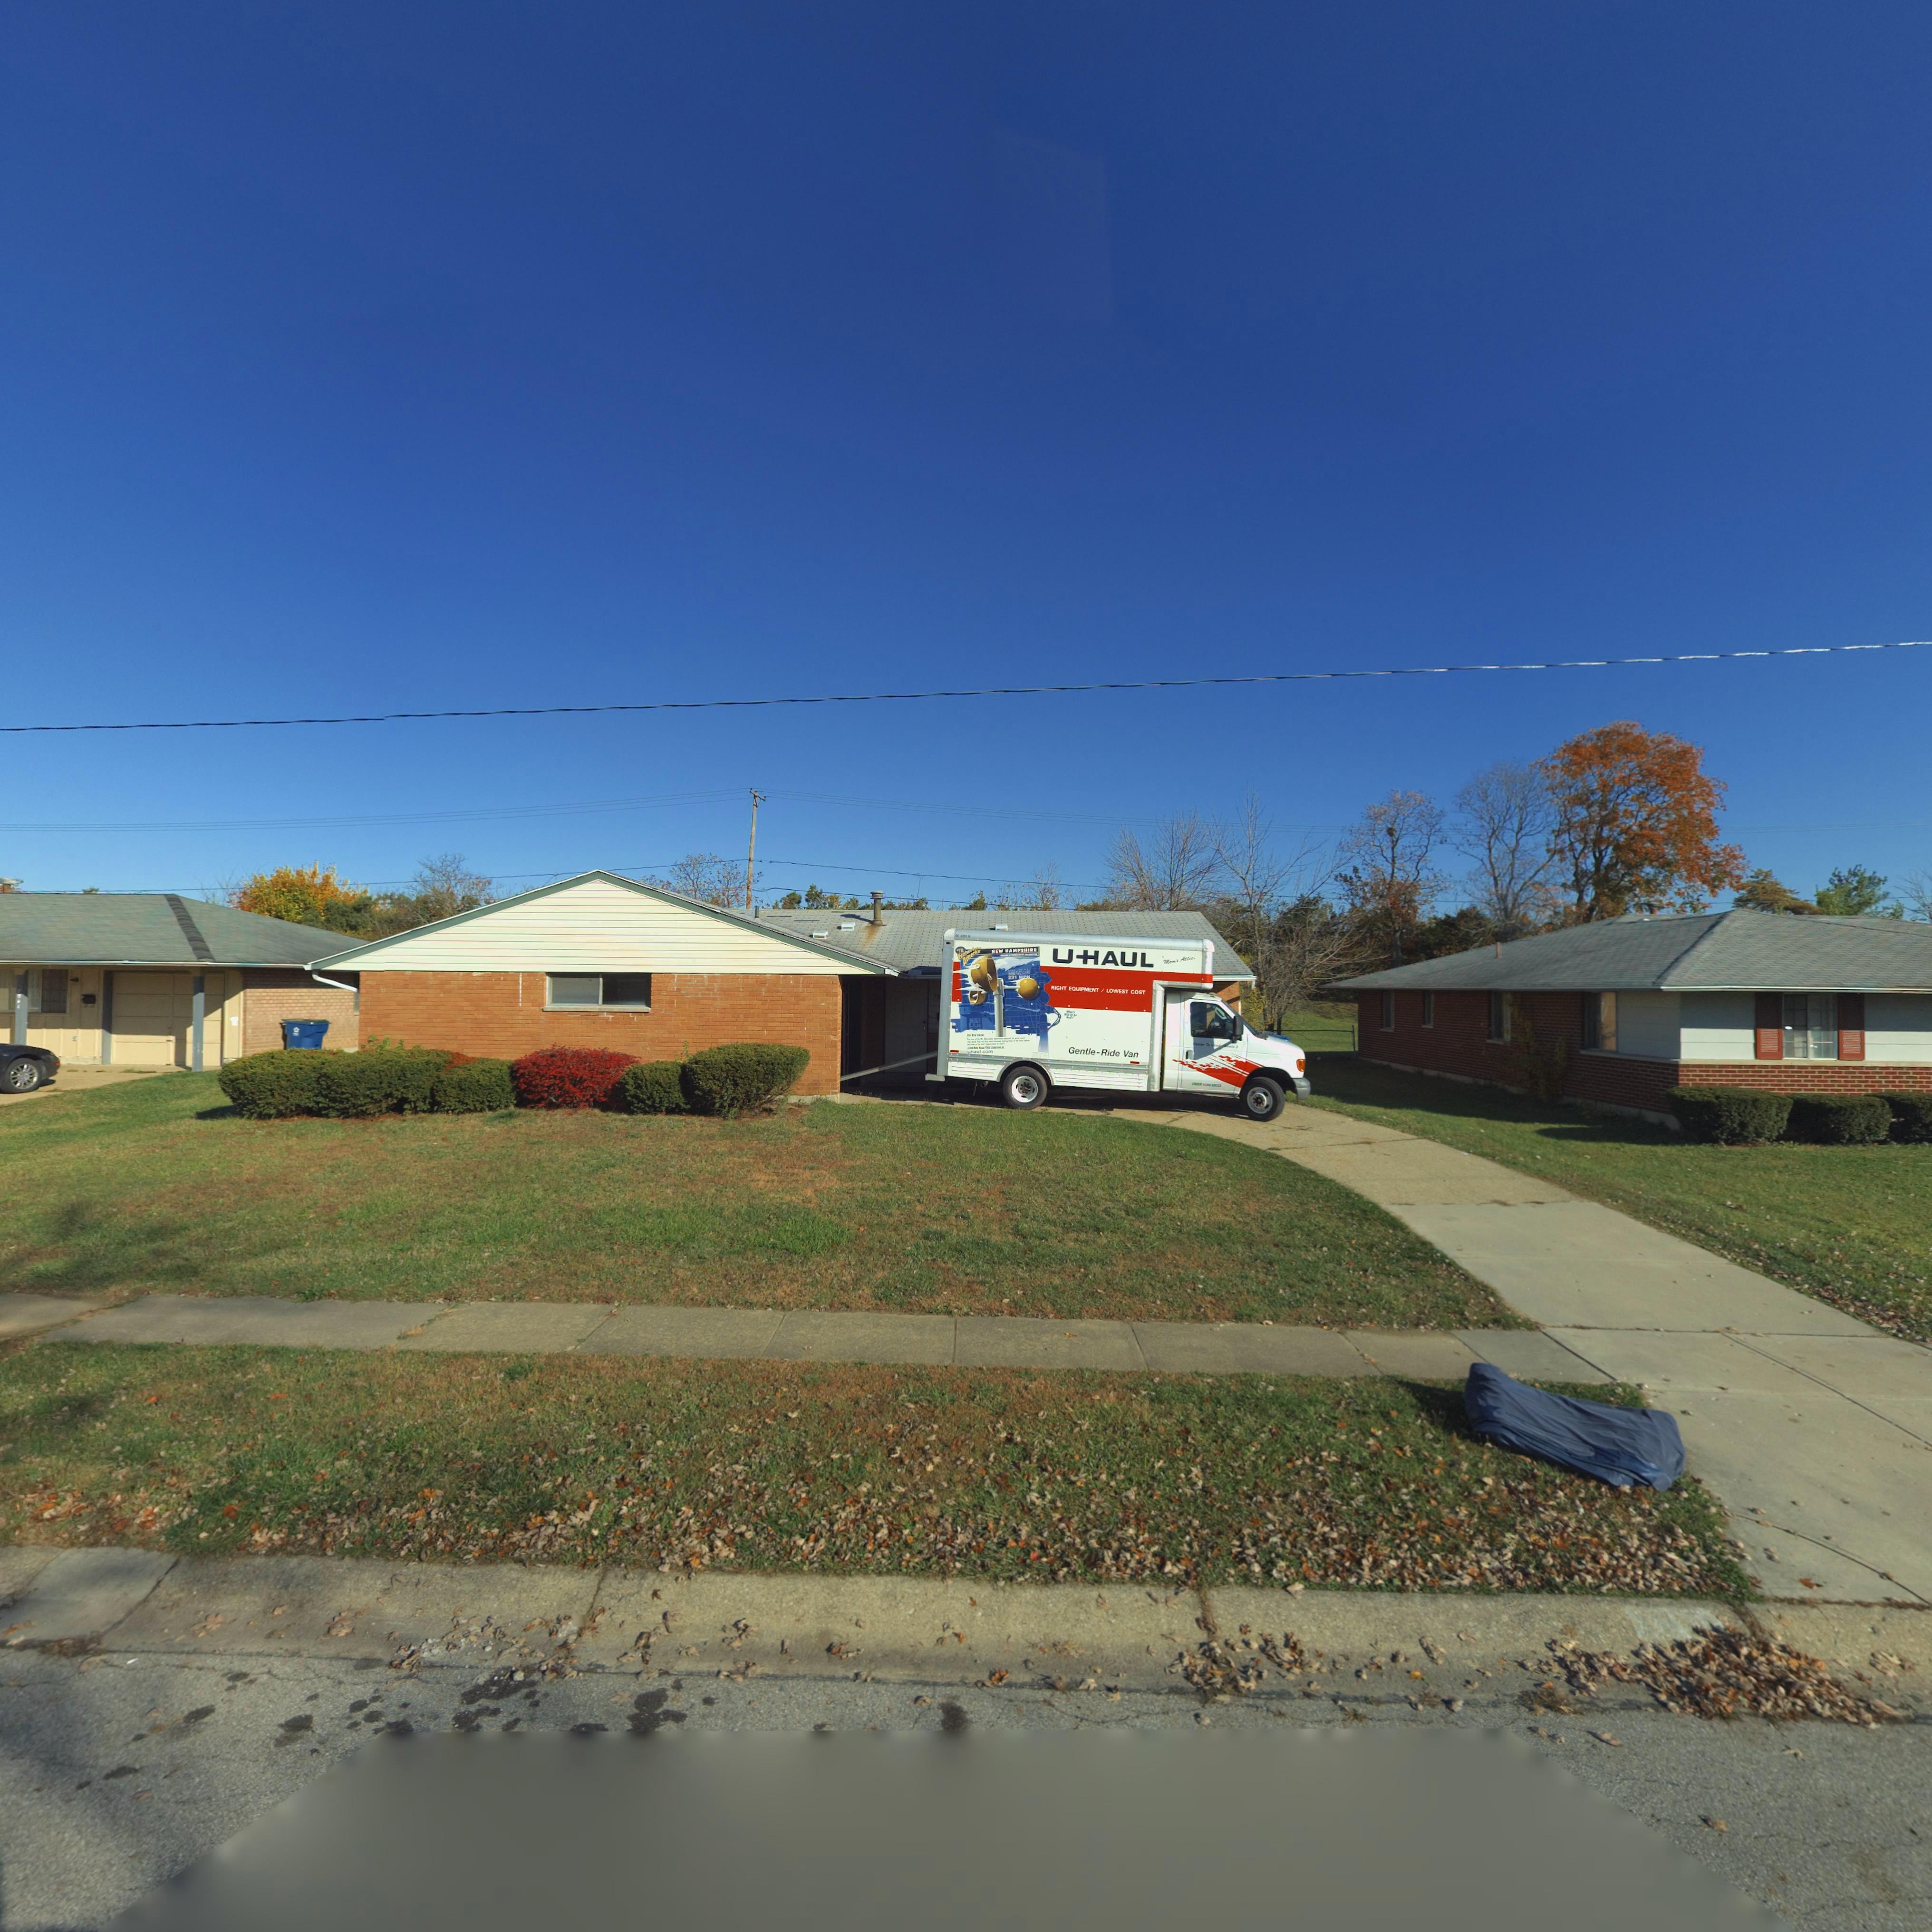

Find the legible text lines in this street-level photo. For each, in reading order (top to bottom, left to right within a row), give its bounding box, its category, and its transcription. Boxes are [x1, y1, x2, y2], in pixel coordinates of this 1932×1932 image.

[933, 994, 941, 1000] StreetNumber: 79